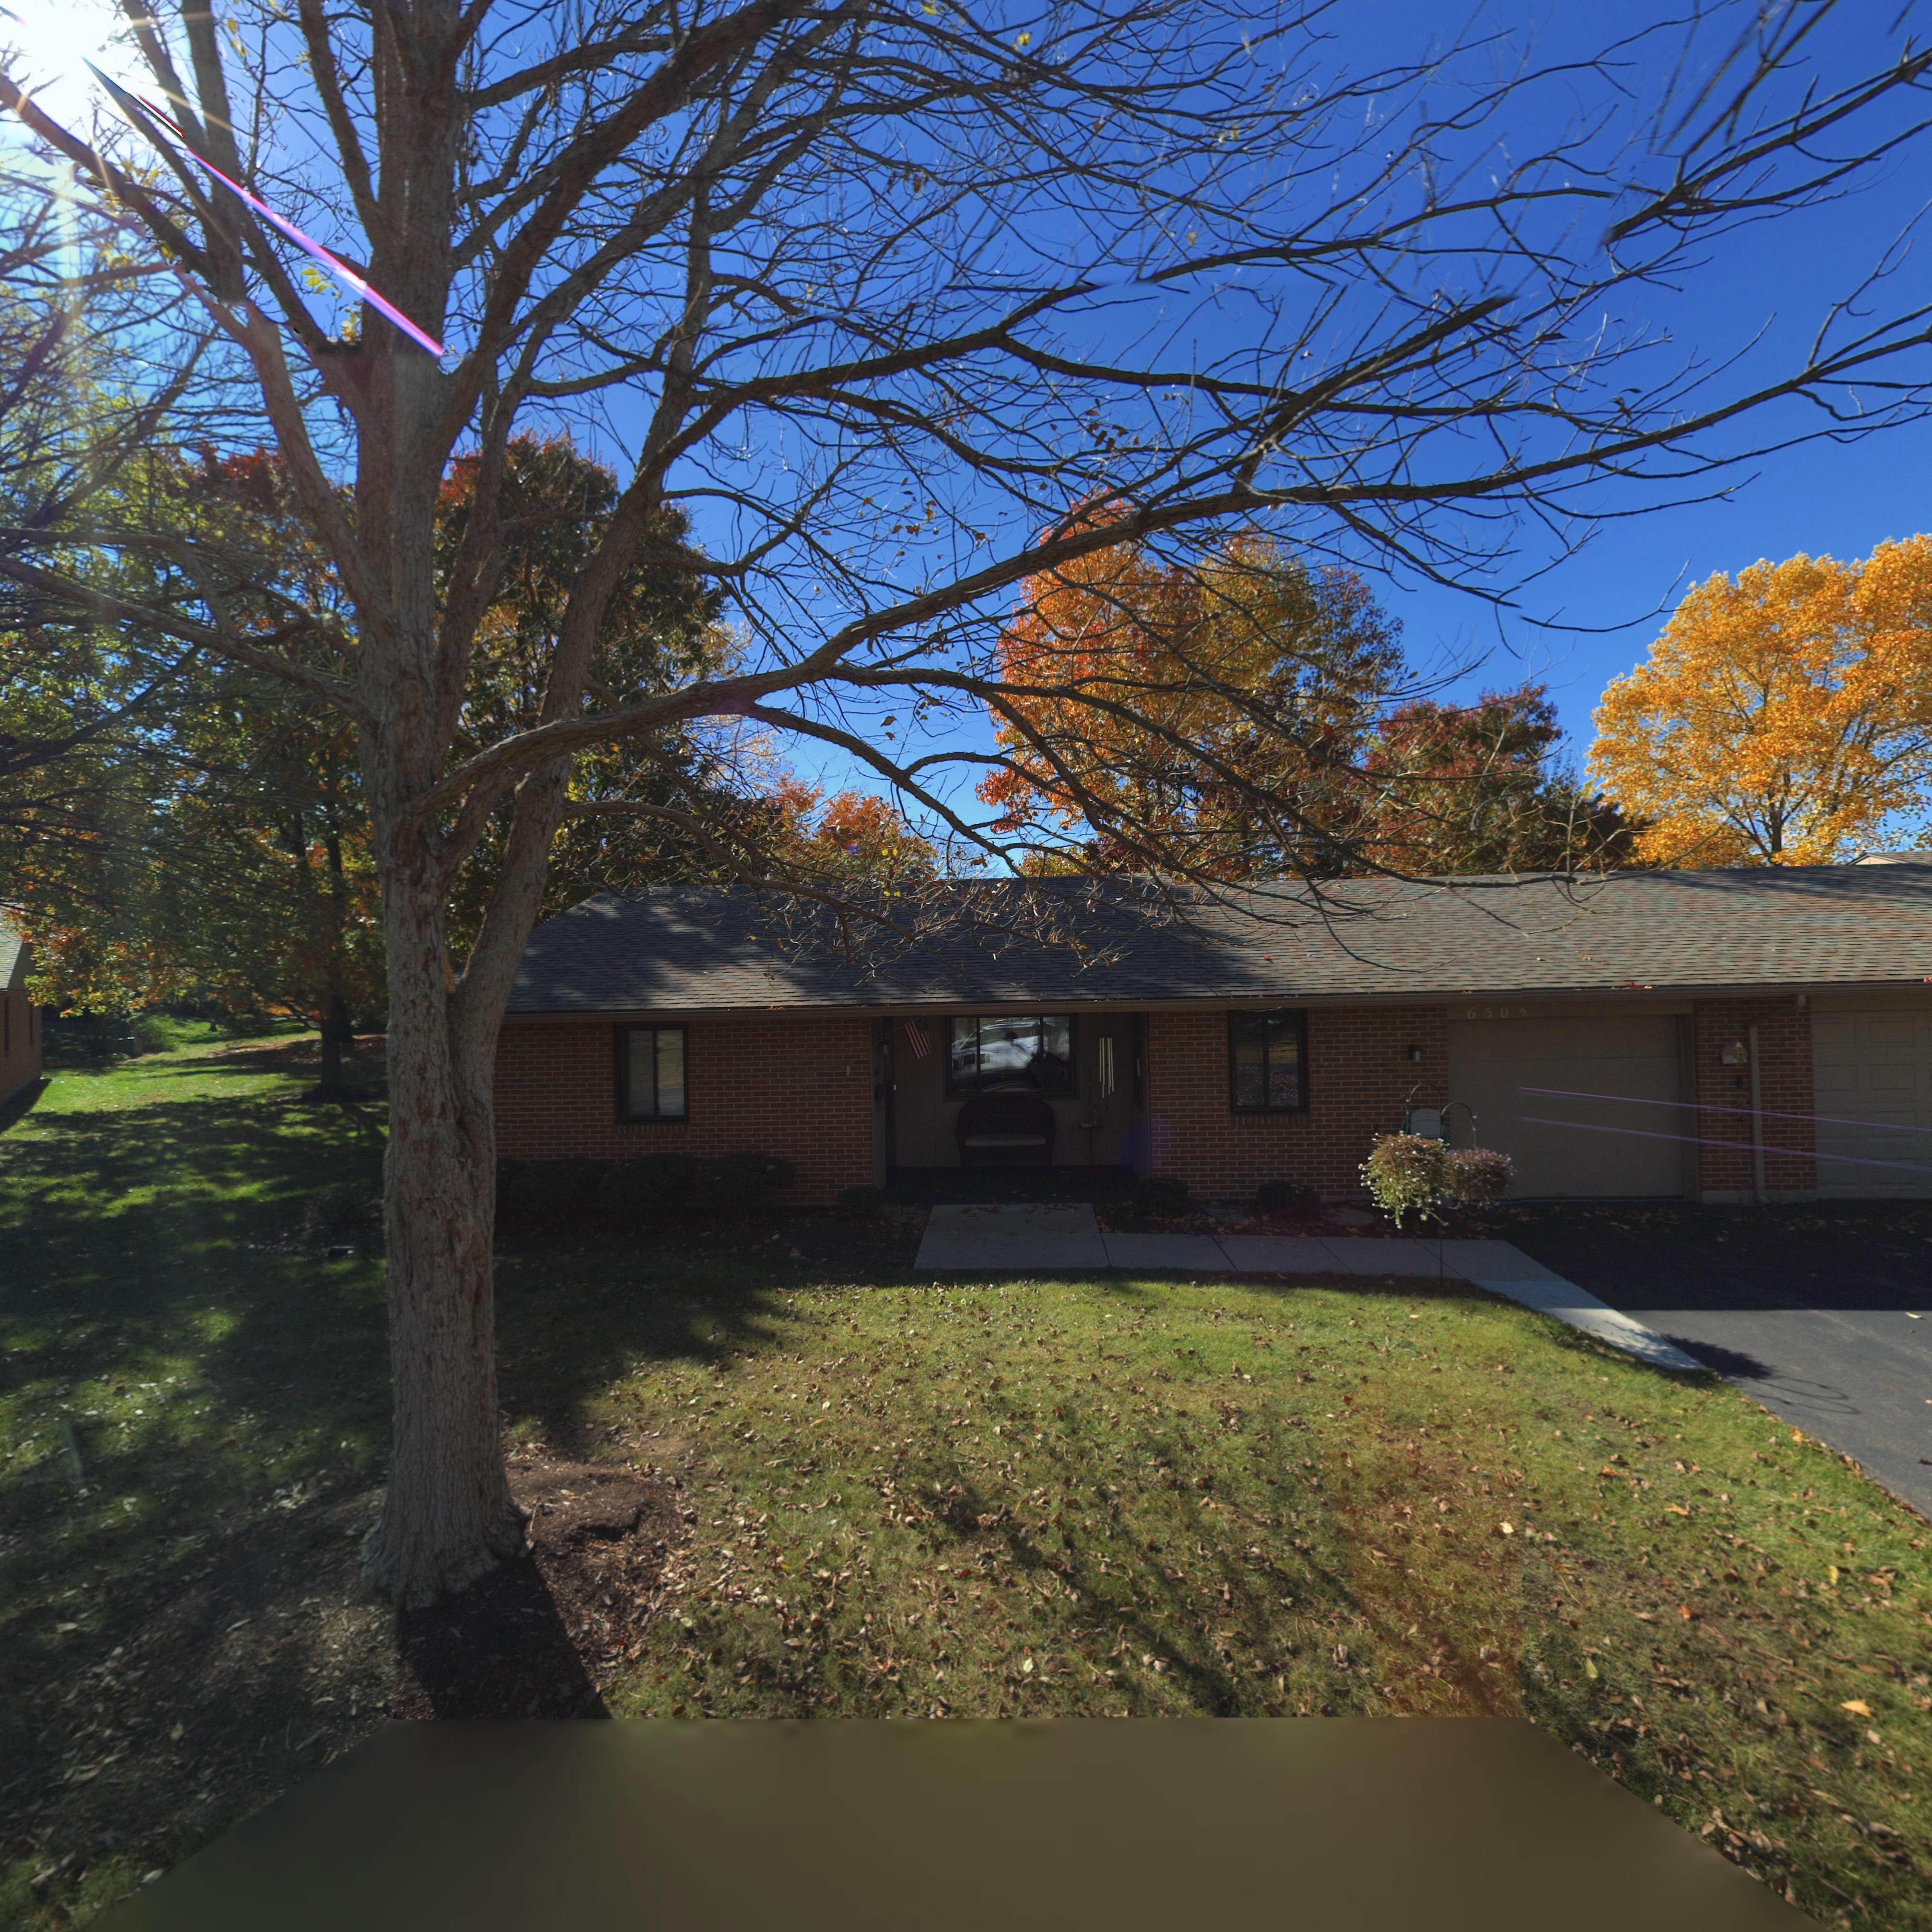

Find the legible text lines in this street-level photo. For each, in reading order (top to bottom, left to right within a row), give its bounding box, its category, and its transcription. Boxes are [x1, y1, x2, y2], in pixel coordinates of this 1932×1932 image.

[1466, 1004, 1528, 1021] StreetNumber: 650*